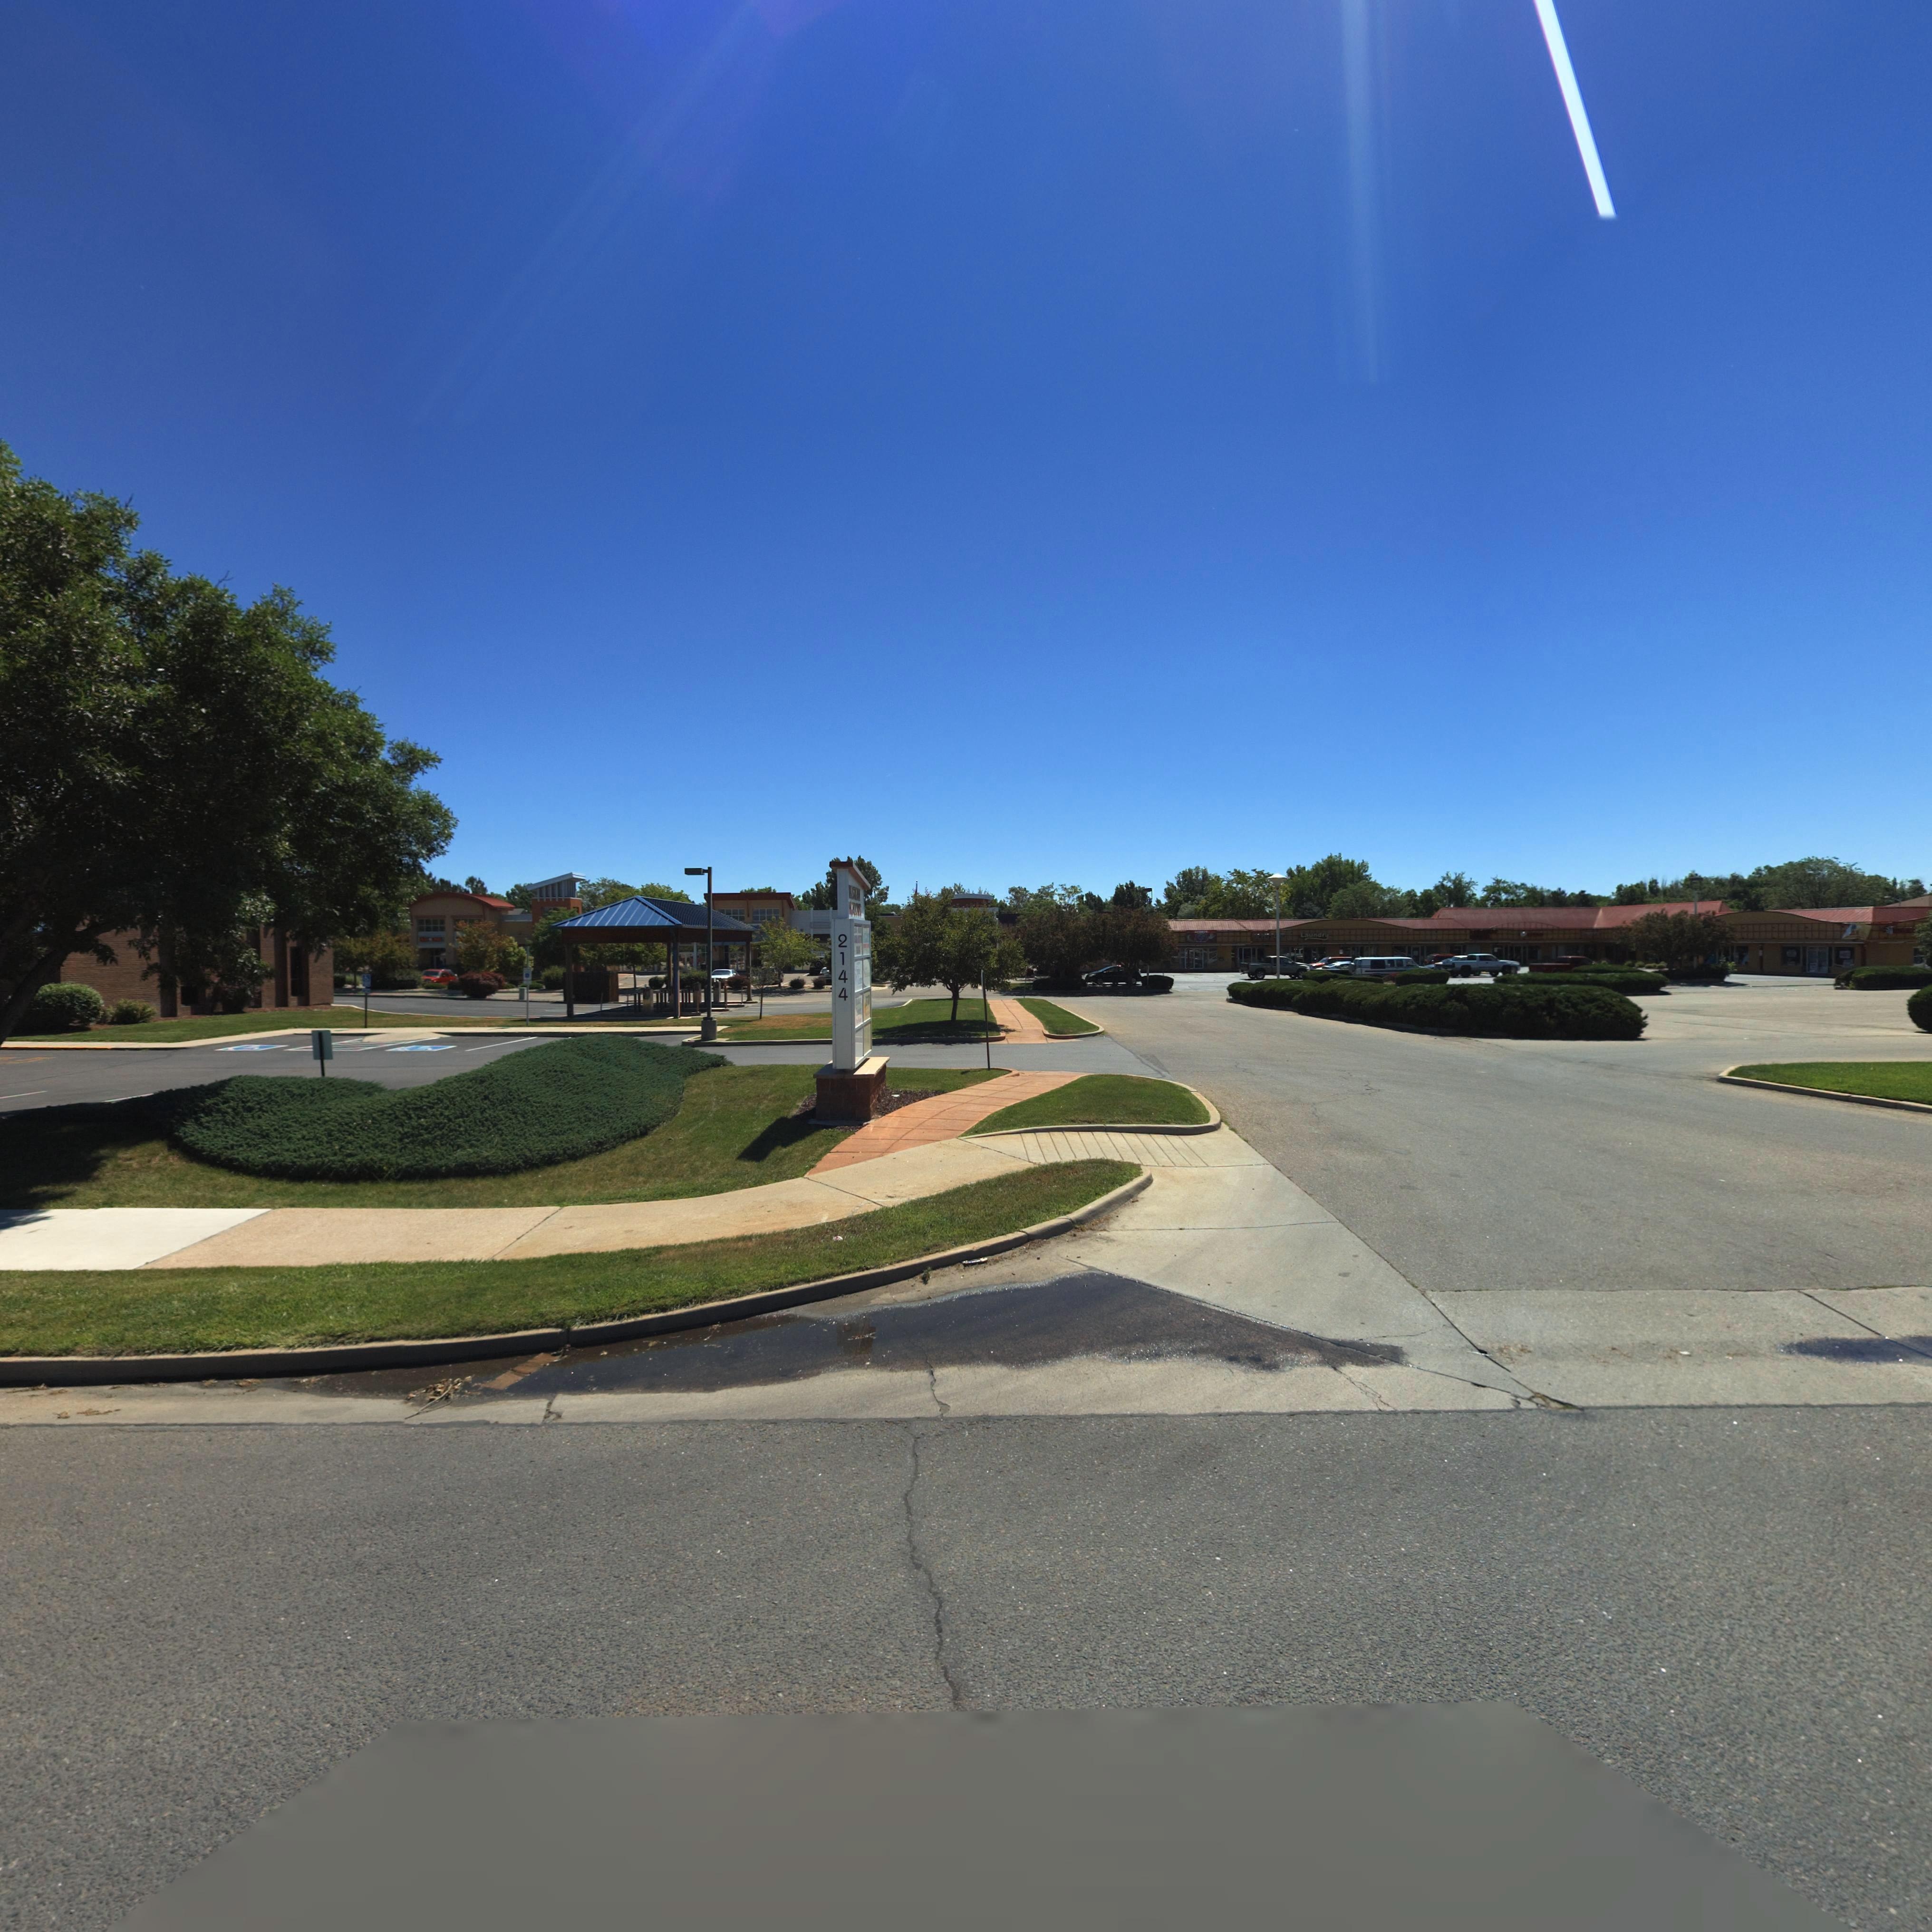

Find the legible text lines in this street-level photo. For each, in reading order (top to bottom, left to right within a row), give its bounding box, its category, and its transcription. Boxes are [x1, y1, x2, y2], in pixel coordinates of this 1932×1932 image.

[838, 933, 848, 1001] StreetNumber: 2144
[1252, 933, 1285, 942] BusinessName: ***PET CL***C